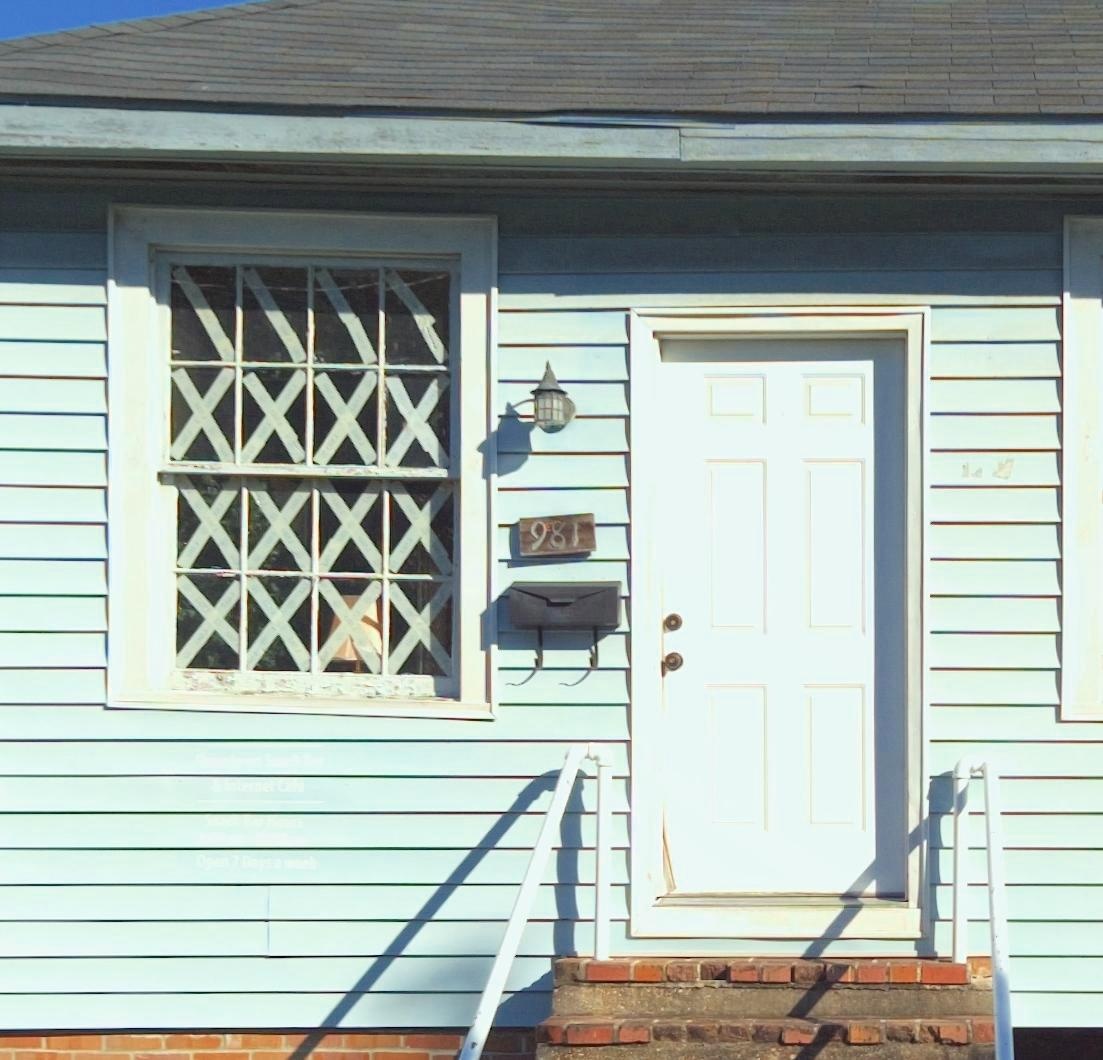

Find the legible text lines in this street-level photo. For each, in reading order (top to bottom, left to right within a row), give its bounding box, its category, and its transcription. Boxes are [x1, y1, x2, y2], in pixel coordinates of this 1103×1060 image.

[528, 519, 582, 554] StreetNumber: 981